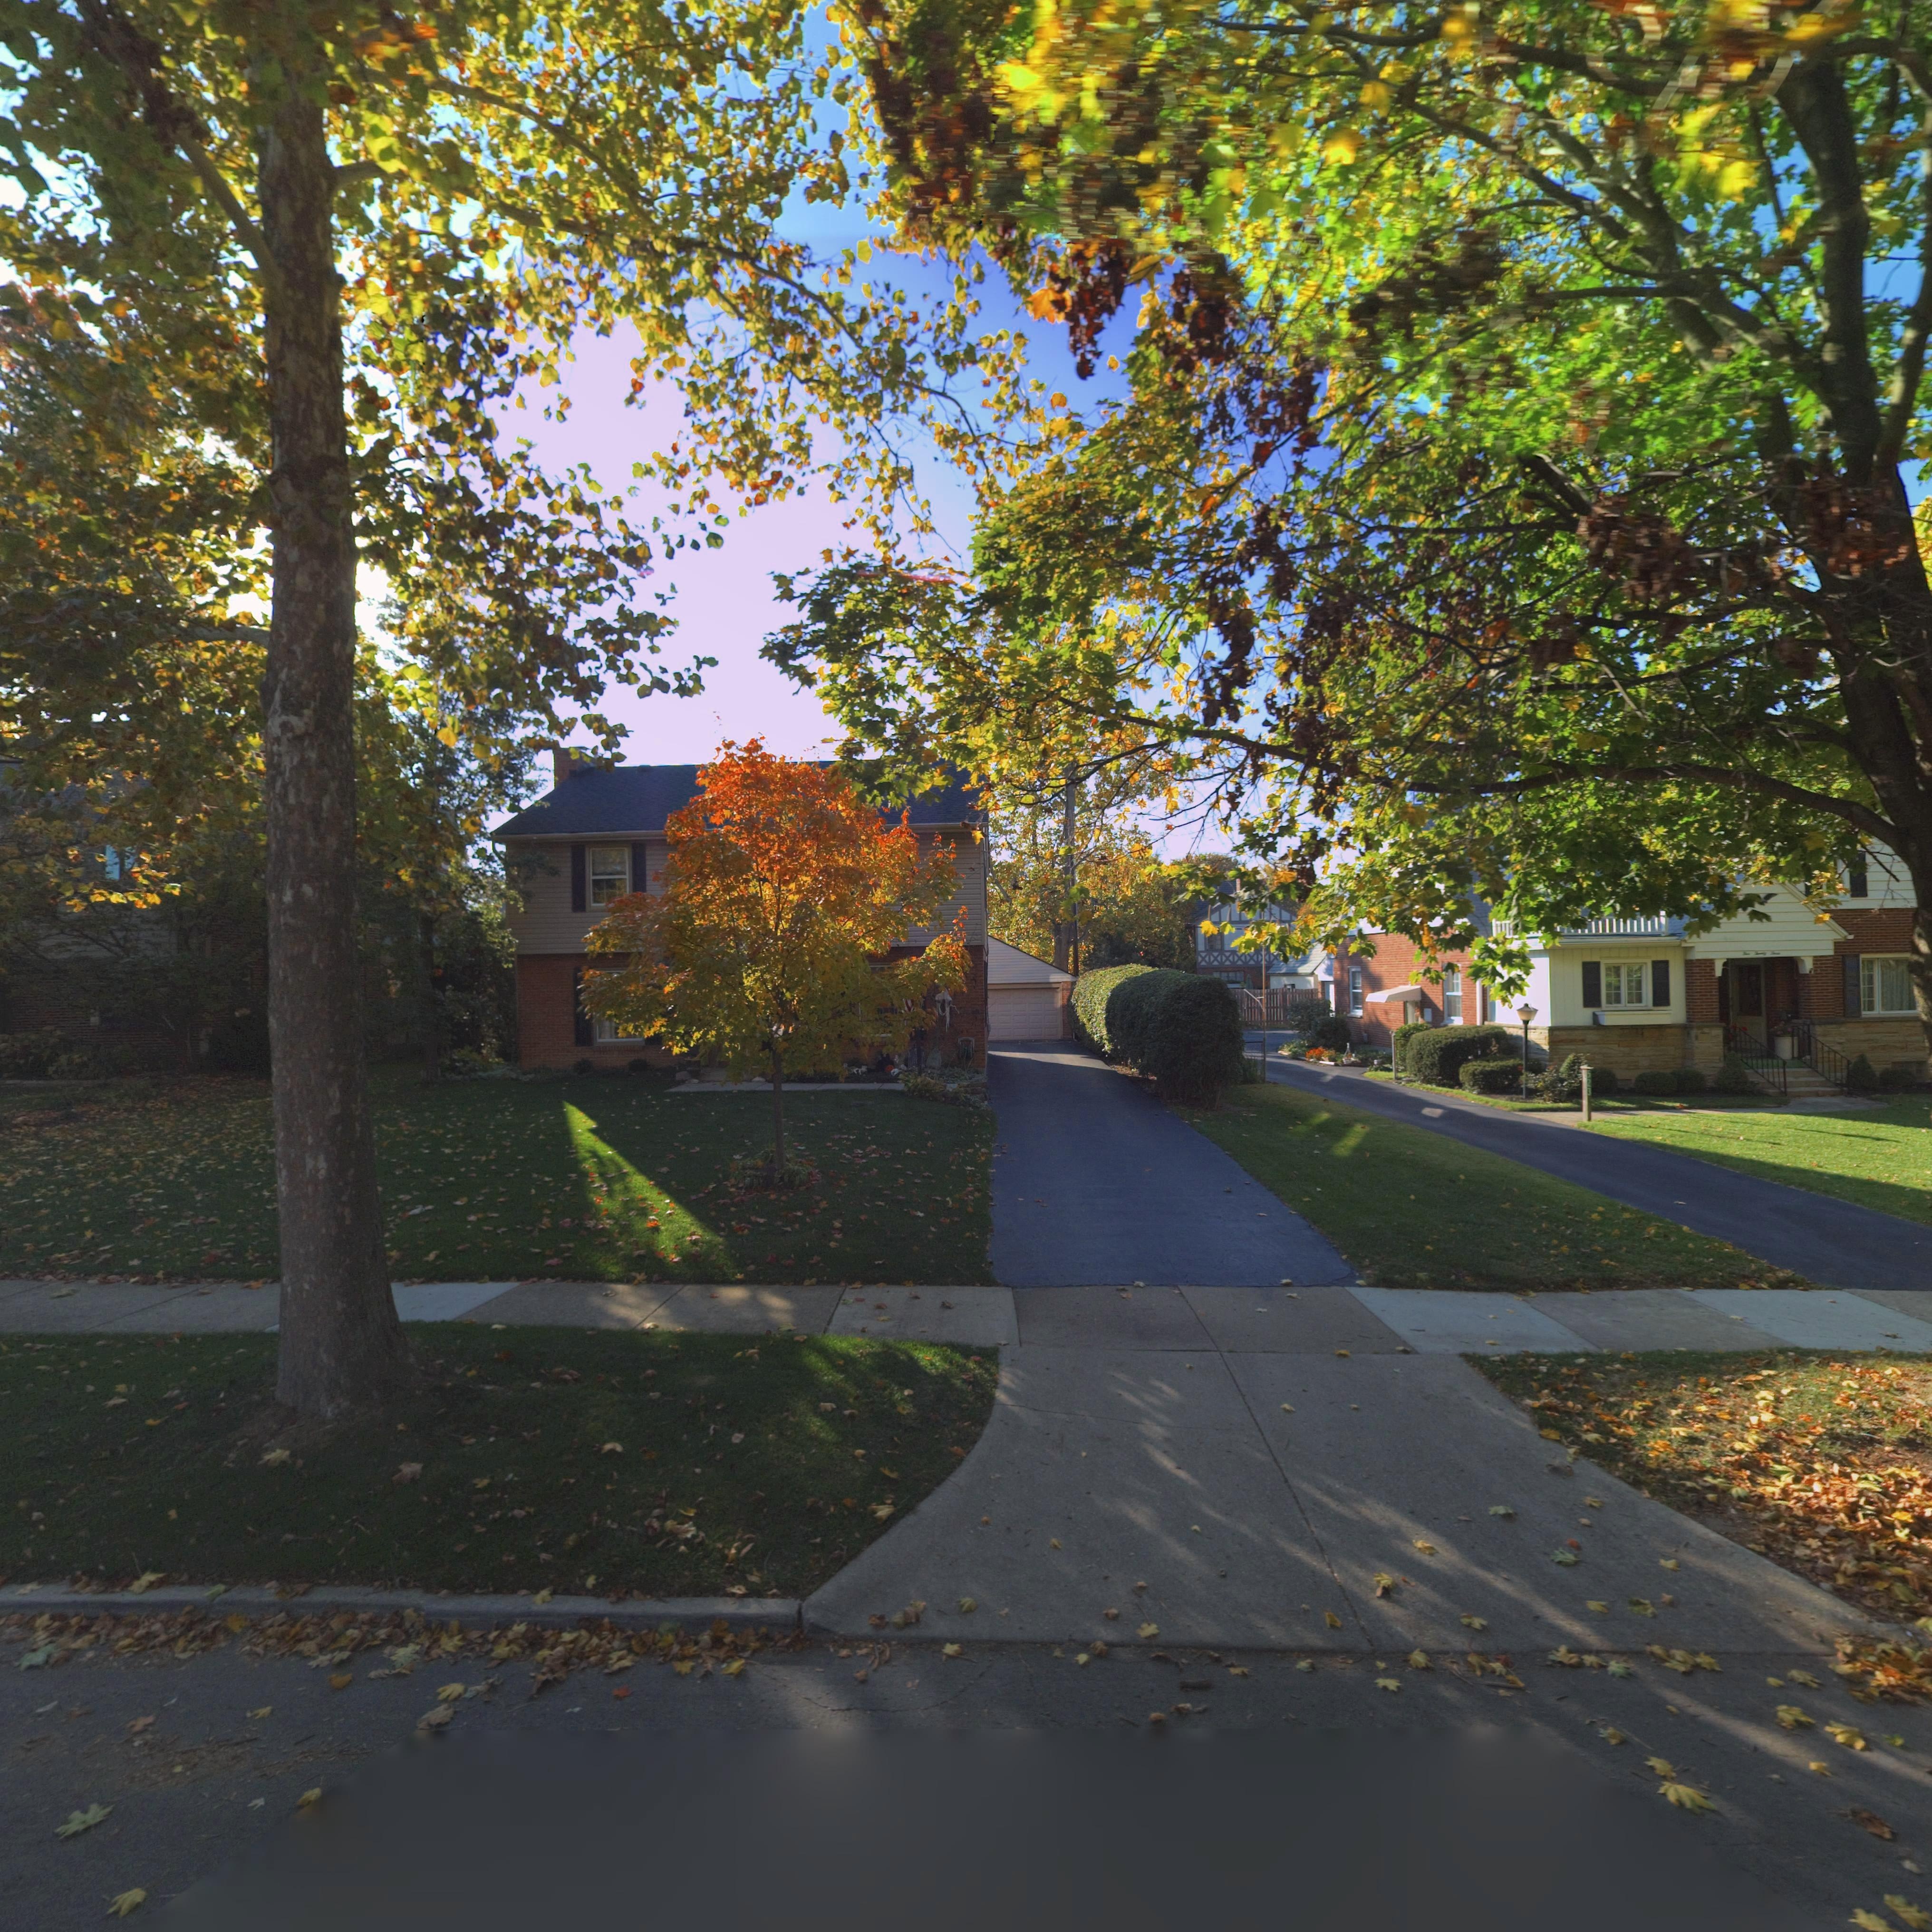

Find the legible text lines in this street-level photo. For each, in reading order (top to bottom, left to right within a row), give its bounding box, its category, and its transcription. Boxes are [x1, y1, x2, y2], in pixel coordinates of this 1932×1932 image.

[1586, 1070, 1592, 1096] StreetNumber: 523